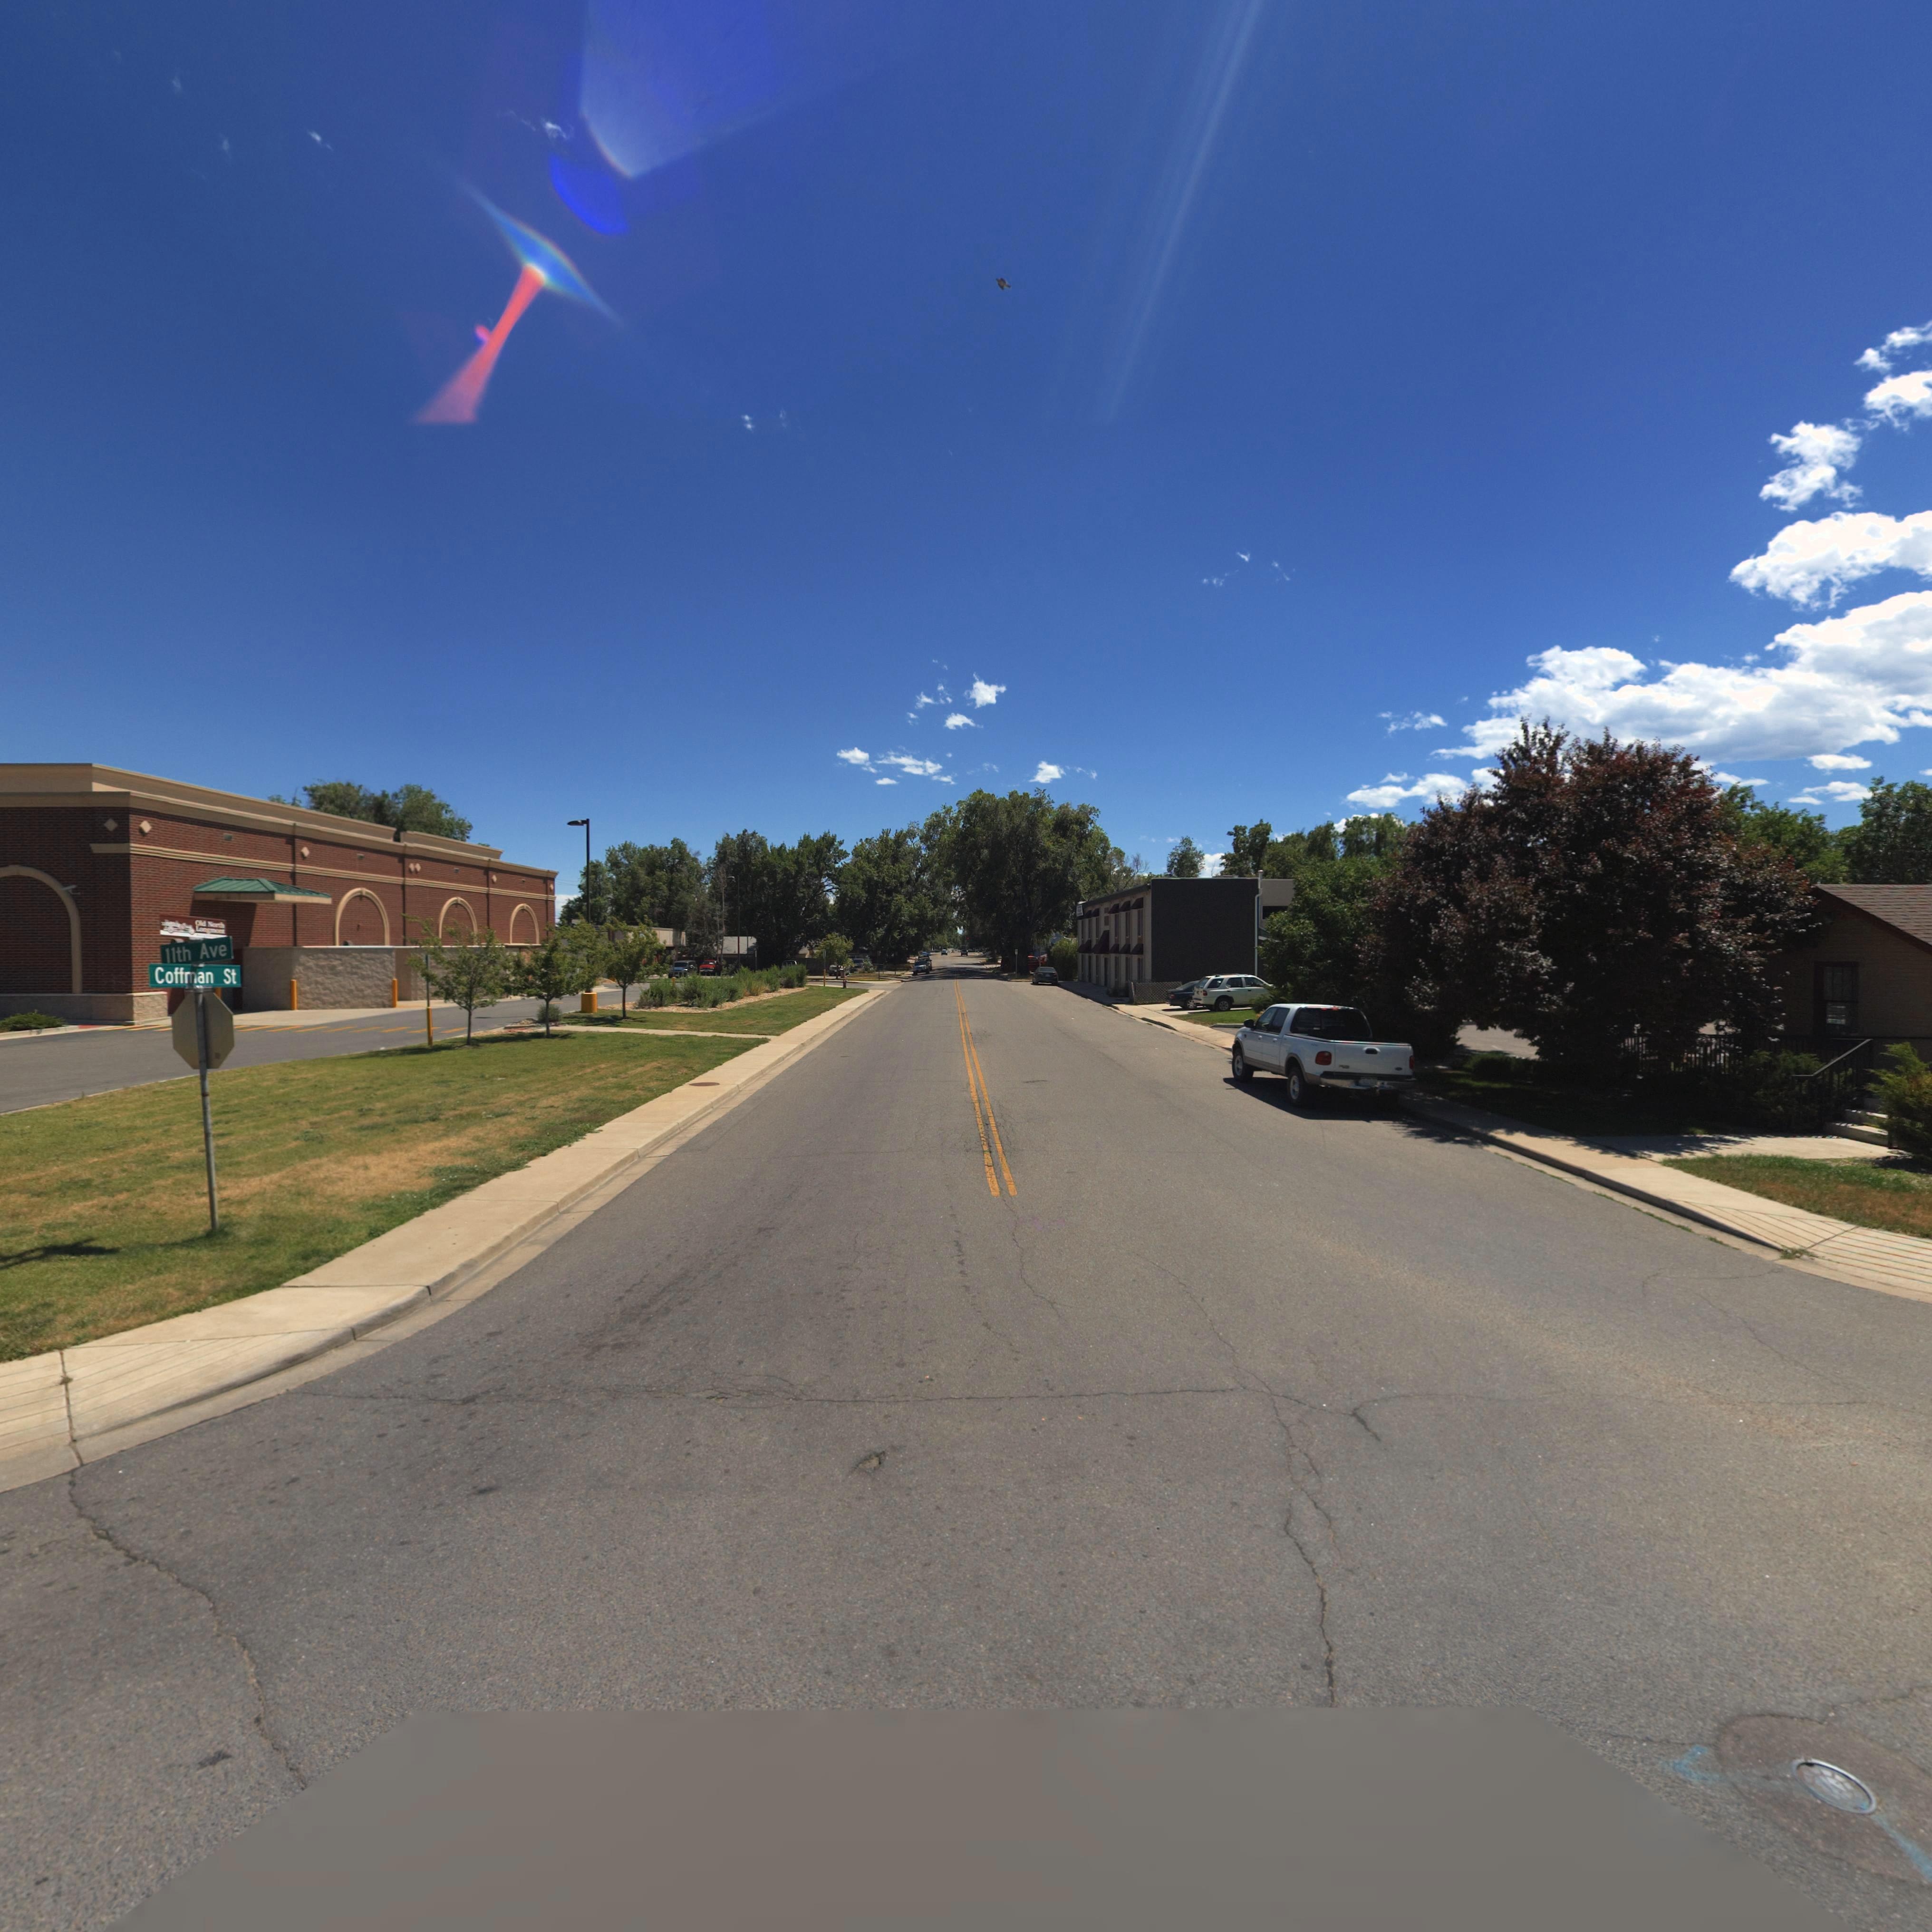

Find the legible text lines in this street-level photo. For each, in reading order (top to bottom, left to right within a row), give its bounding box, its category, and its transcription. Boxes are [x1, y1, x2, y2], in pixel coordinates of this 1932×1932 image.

[164, 941, 229, 965] StreetName: 11th Ave
[154, 966, 238, 985] StreetName: Coffman St